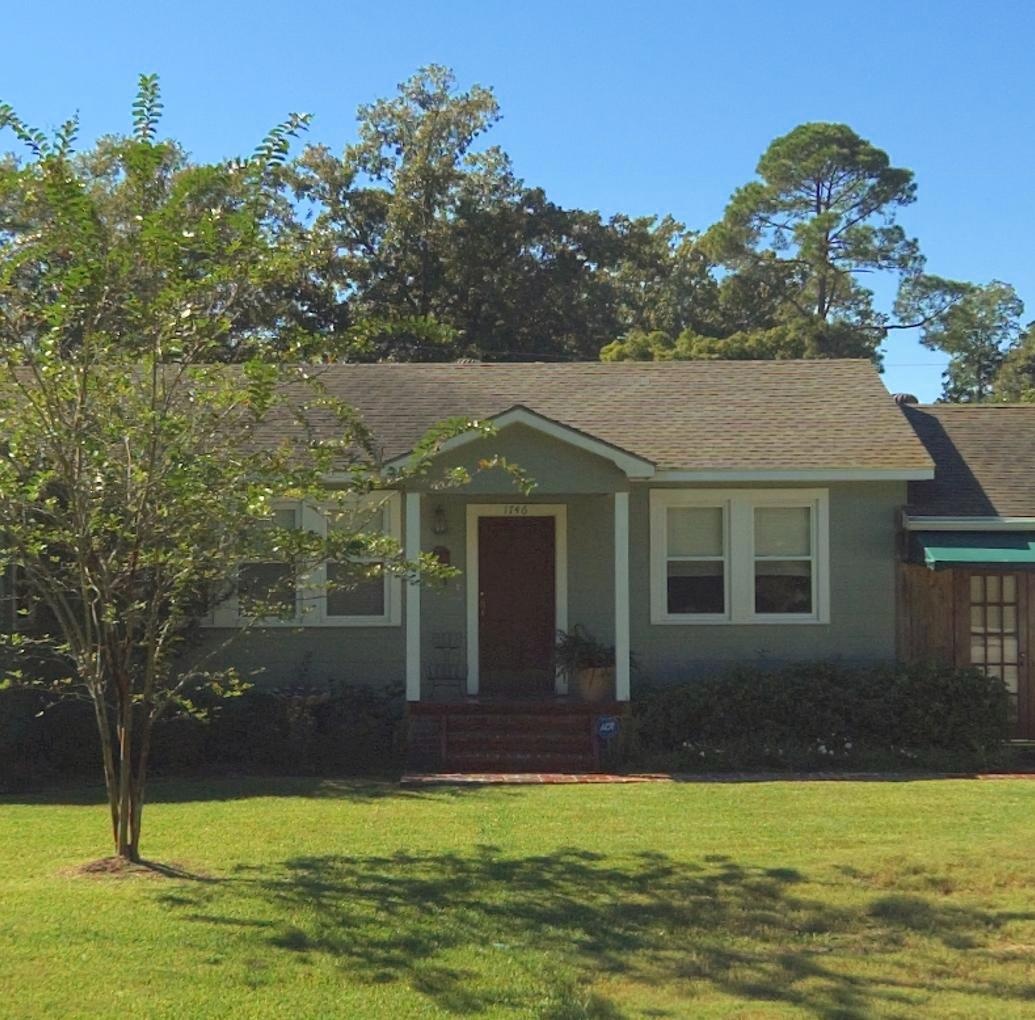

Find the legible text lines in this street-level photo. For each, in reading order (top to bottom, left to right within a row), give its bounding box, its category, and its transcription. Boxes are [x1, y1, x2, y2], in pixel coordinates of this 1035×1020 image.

[503, 504, 529, 516] StreetNumber: 1746
[599, 722, 616, 732] None: ADT